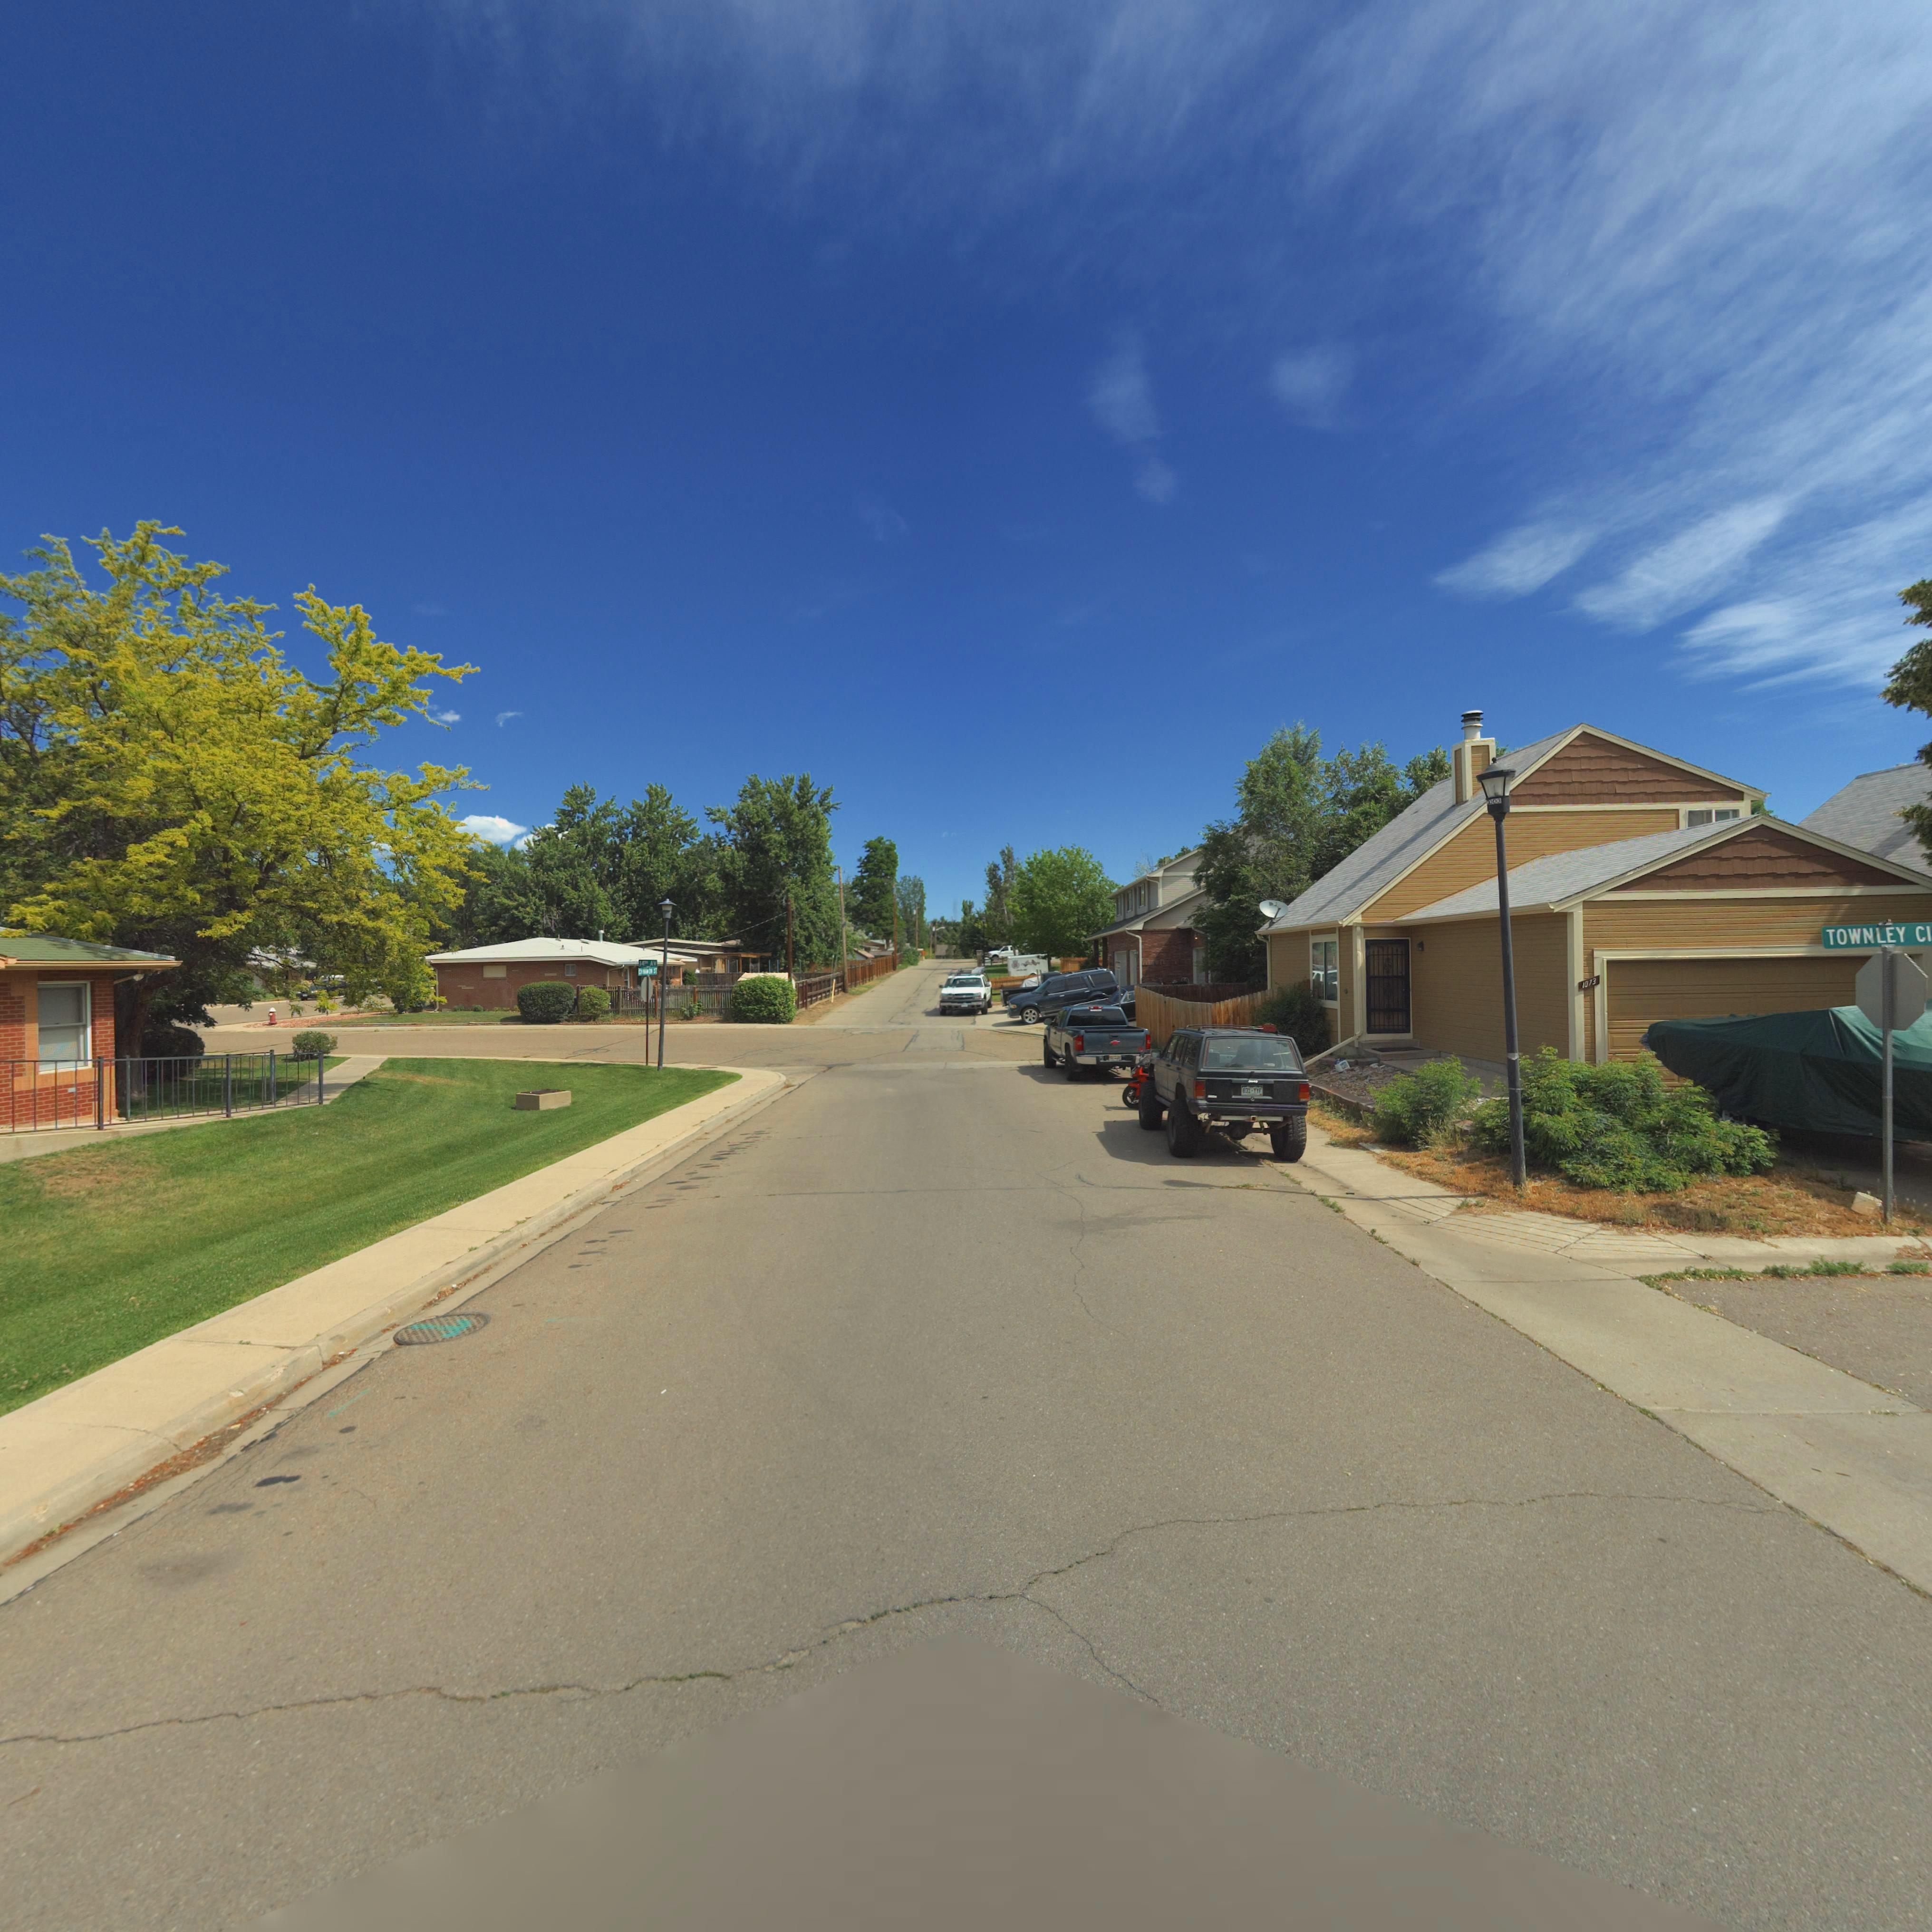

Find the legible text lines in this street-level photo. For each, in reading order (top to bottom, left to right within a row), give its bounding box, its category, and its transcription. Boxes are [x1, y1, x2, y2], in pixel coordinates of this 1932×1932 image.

[1826, 925, 1931, 945] StreetName: TOWNLEY CI*
[639, 960, 657, 966] StreetName: 14** AV
[638, 968, 657, 975] StreetName: C****** *T
[1582, 977, 1596, 988] StreetNumber: 1073